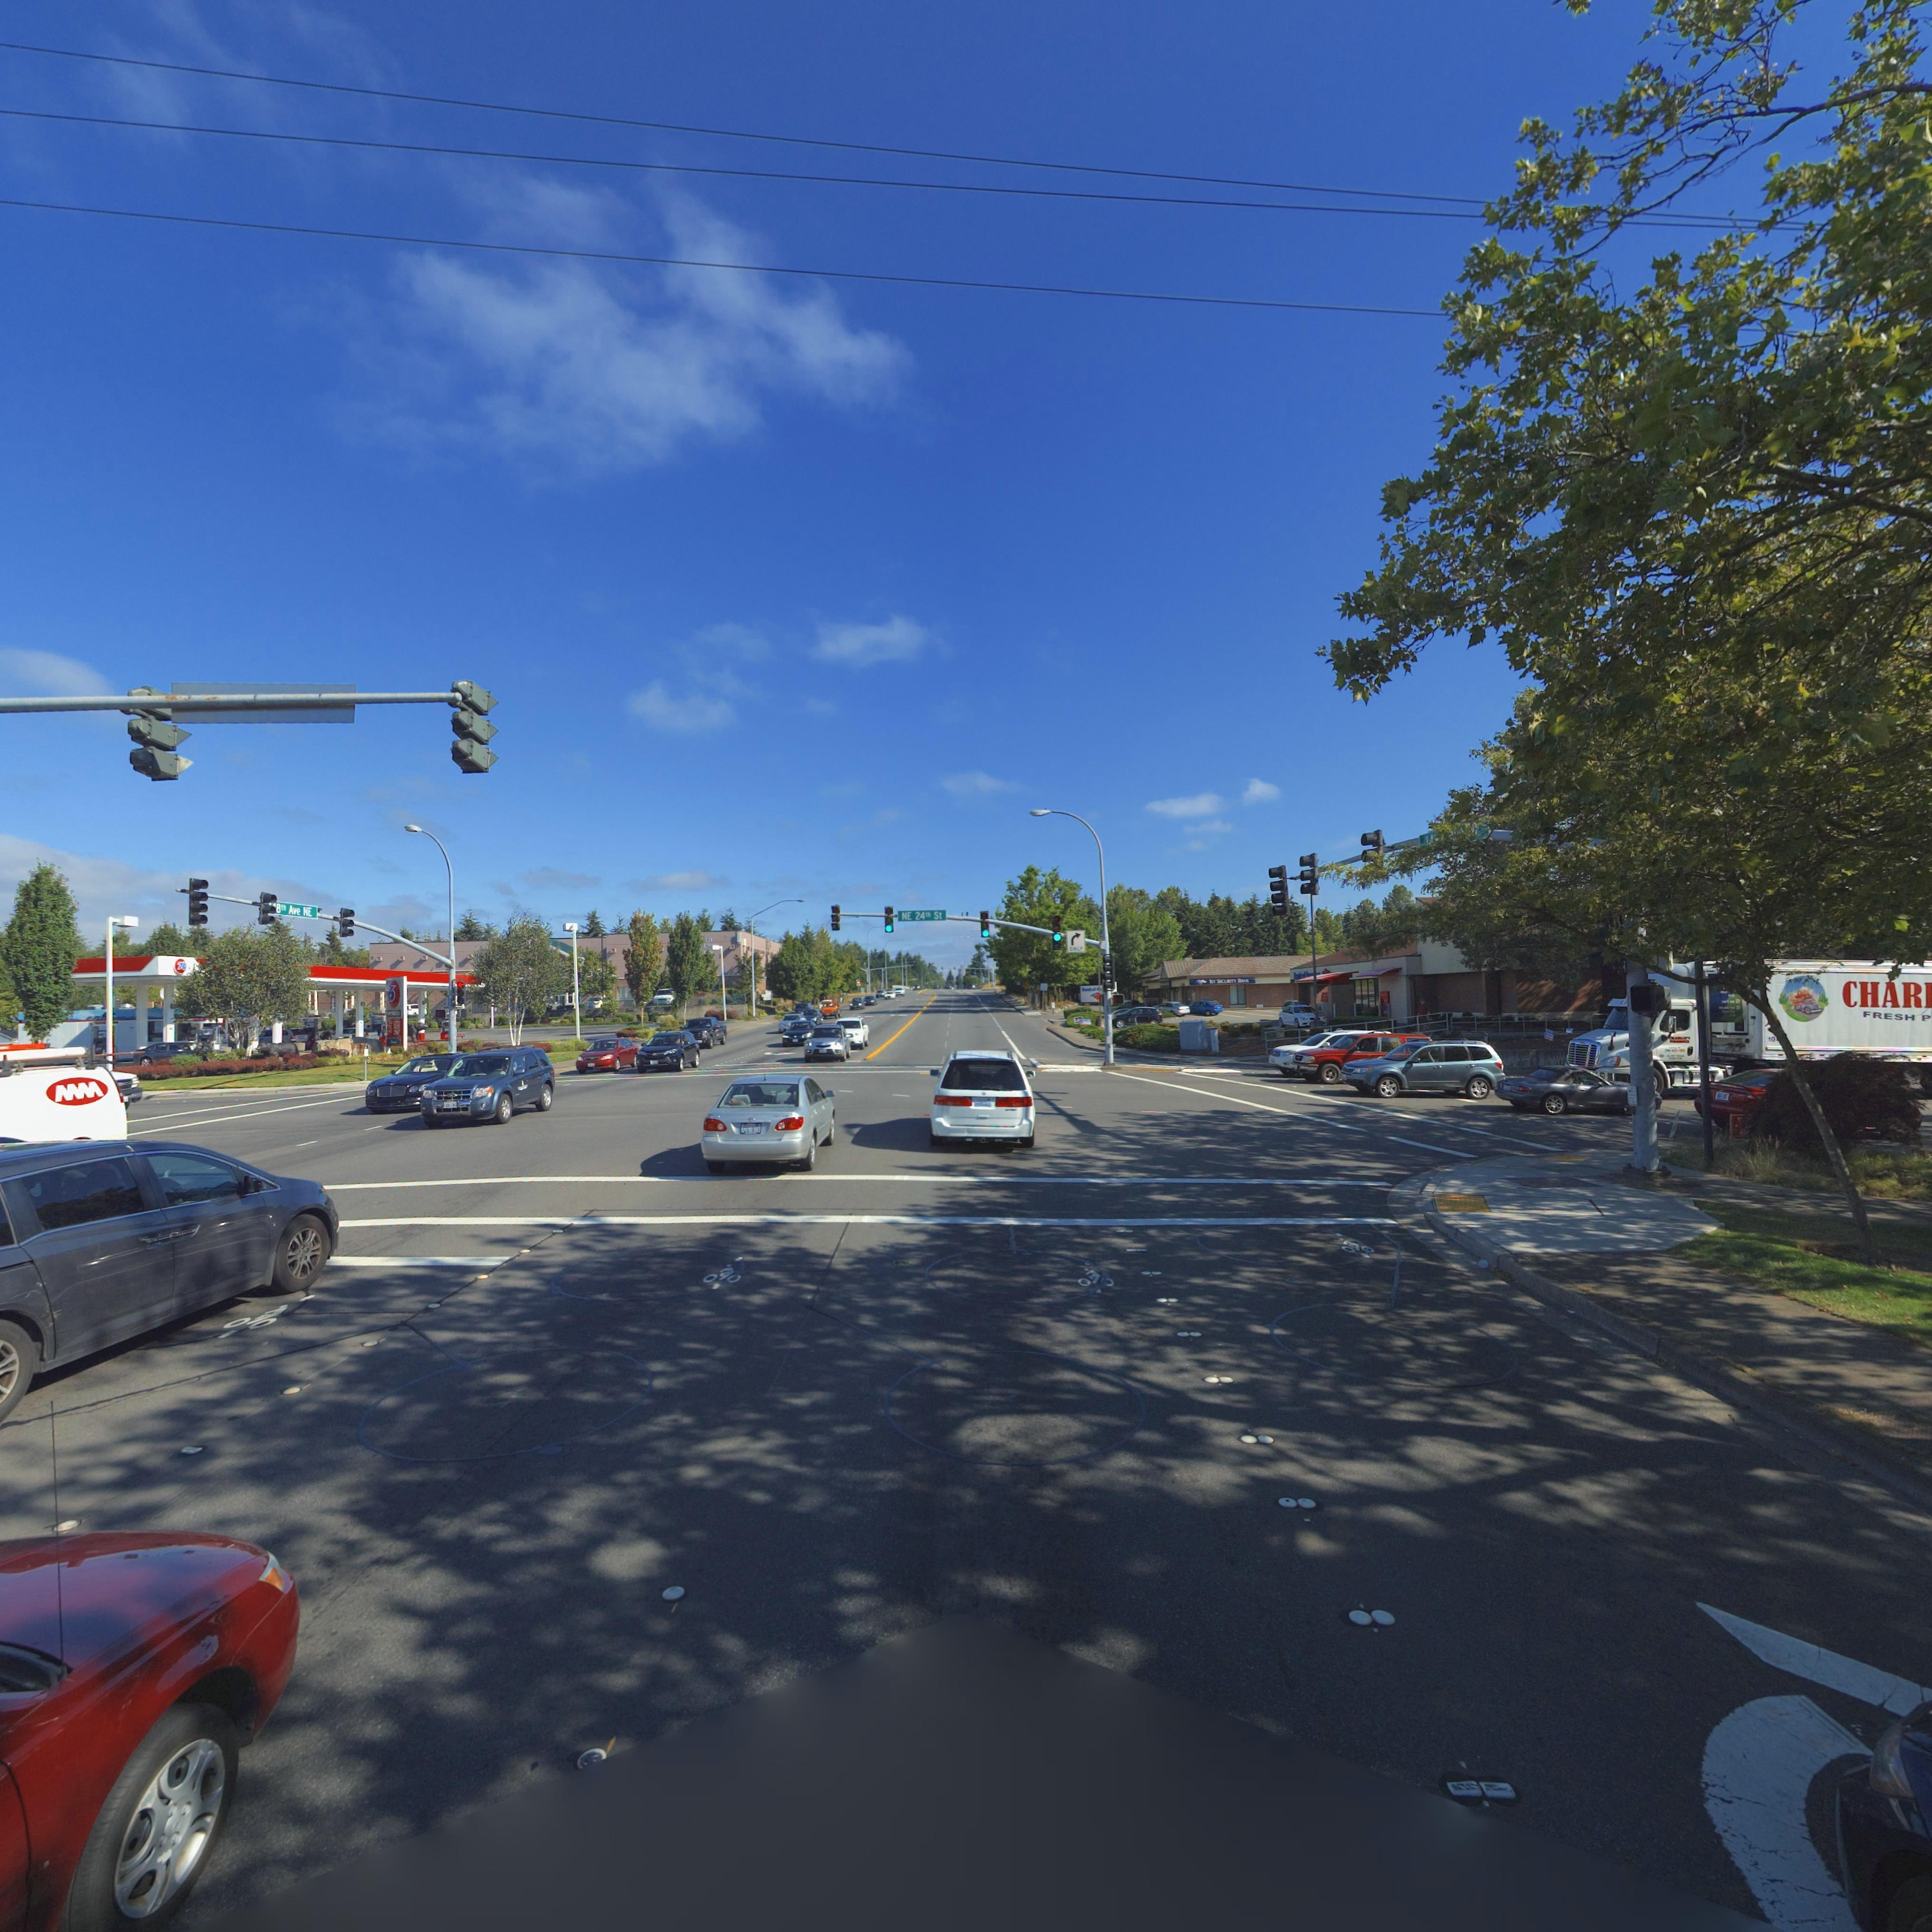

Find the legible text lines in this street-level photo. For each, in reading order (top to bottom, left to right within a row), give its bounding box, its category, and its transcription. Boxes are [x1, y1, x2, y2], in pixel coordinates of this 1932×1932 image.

[276, 902, 312, 917] StreetName: *th Ave NE
[901, 911, 943, 921] StreetName: NE 24th St
[1217, 977, 1249, 984] BusinessName: SECURITY BANK